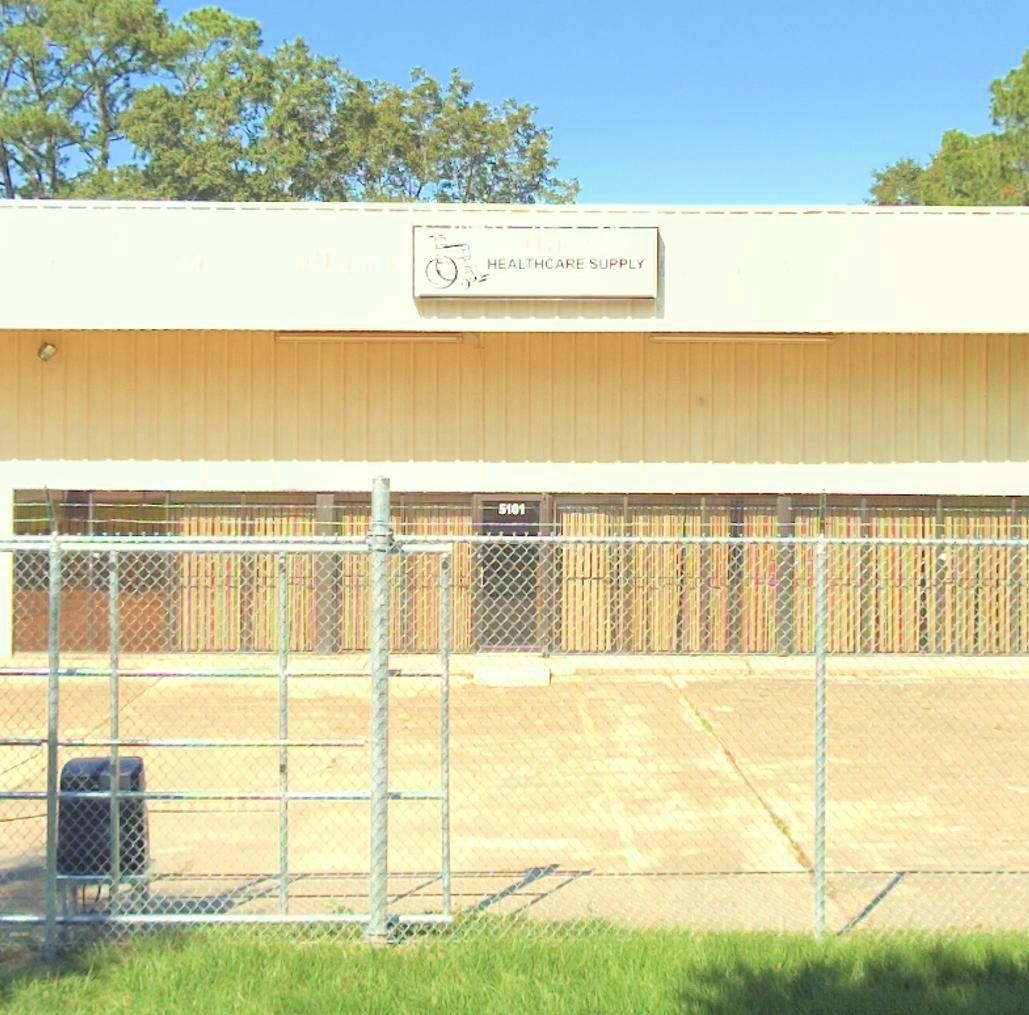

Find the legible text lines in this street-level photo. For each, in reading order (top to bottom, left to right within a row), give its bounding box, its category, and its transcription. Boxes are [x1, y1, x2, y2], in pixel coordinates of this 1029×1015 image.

[486, 257, 645, 270] None: HEALTHCARE SUPPLY
[498, 502, 527, 516] StreetNumber: 5101